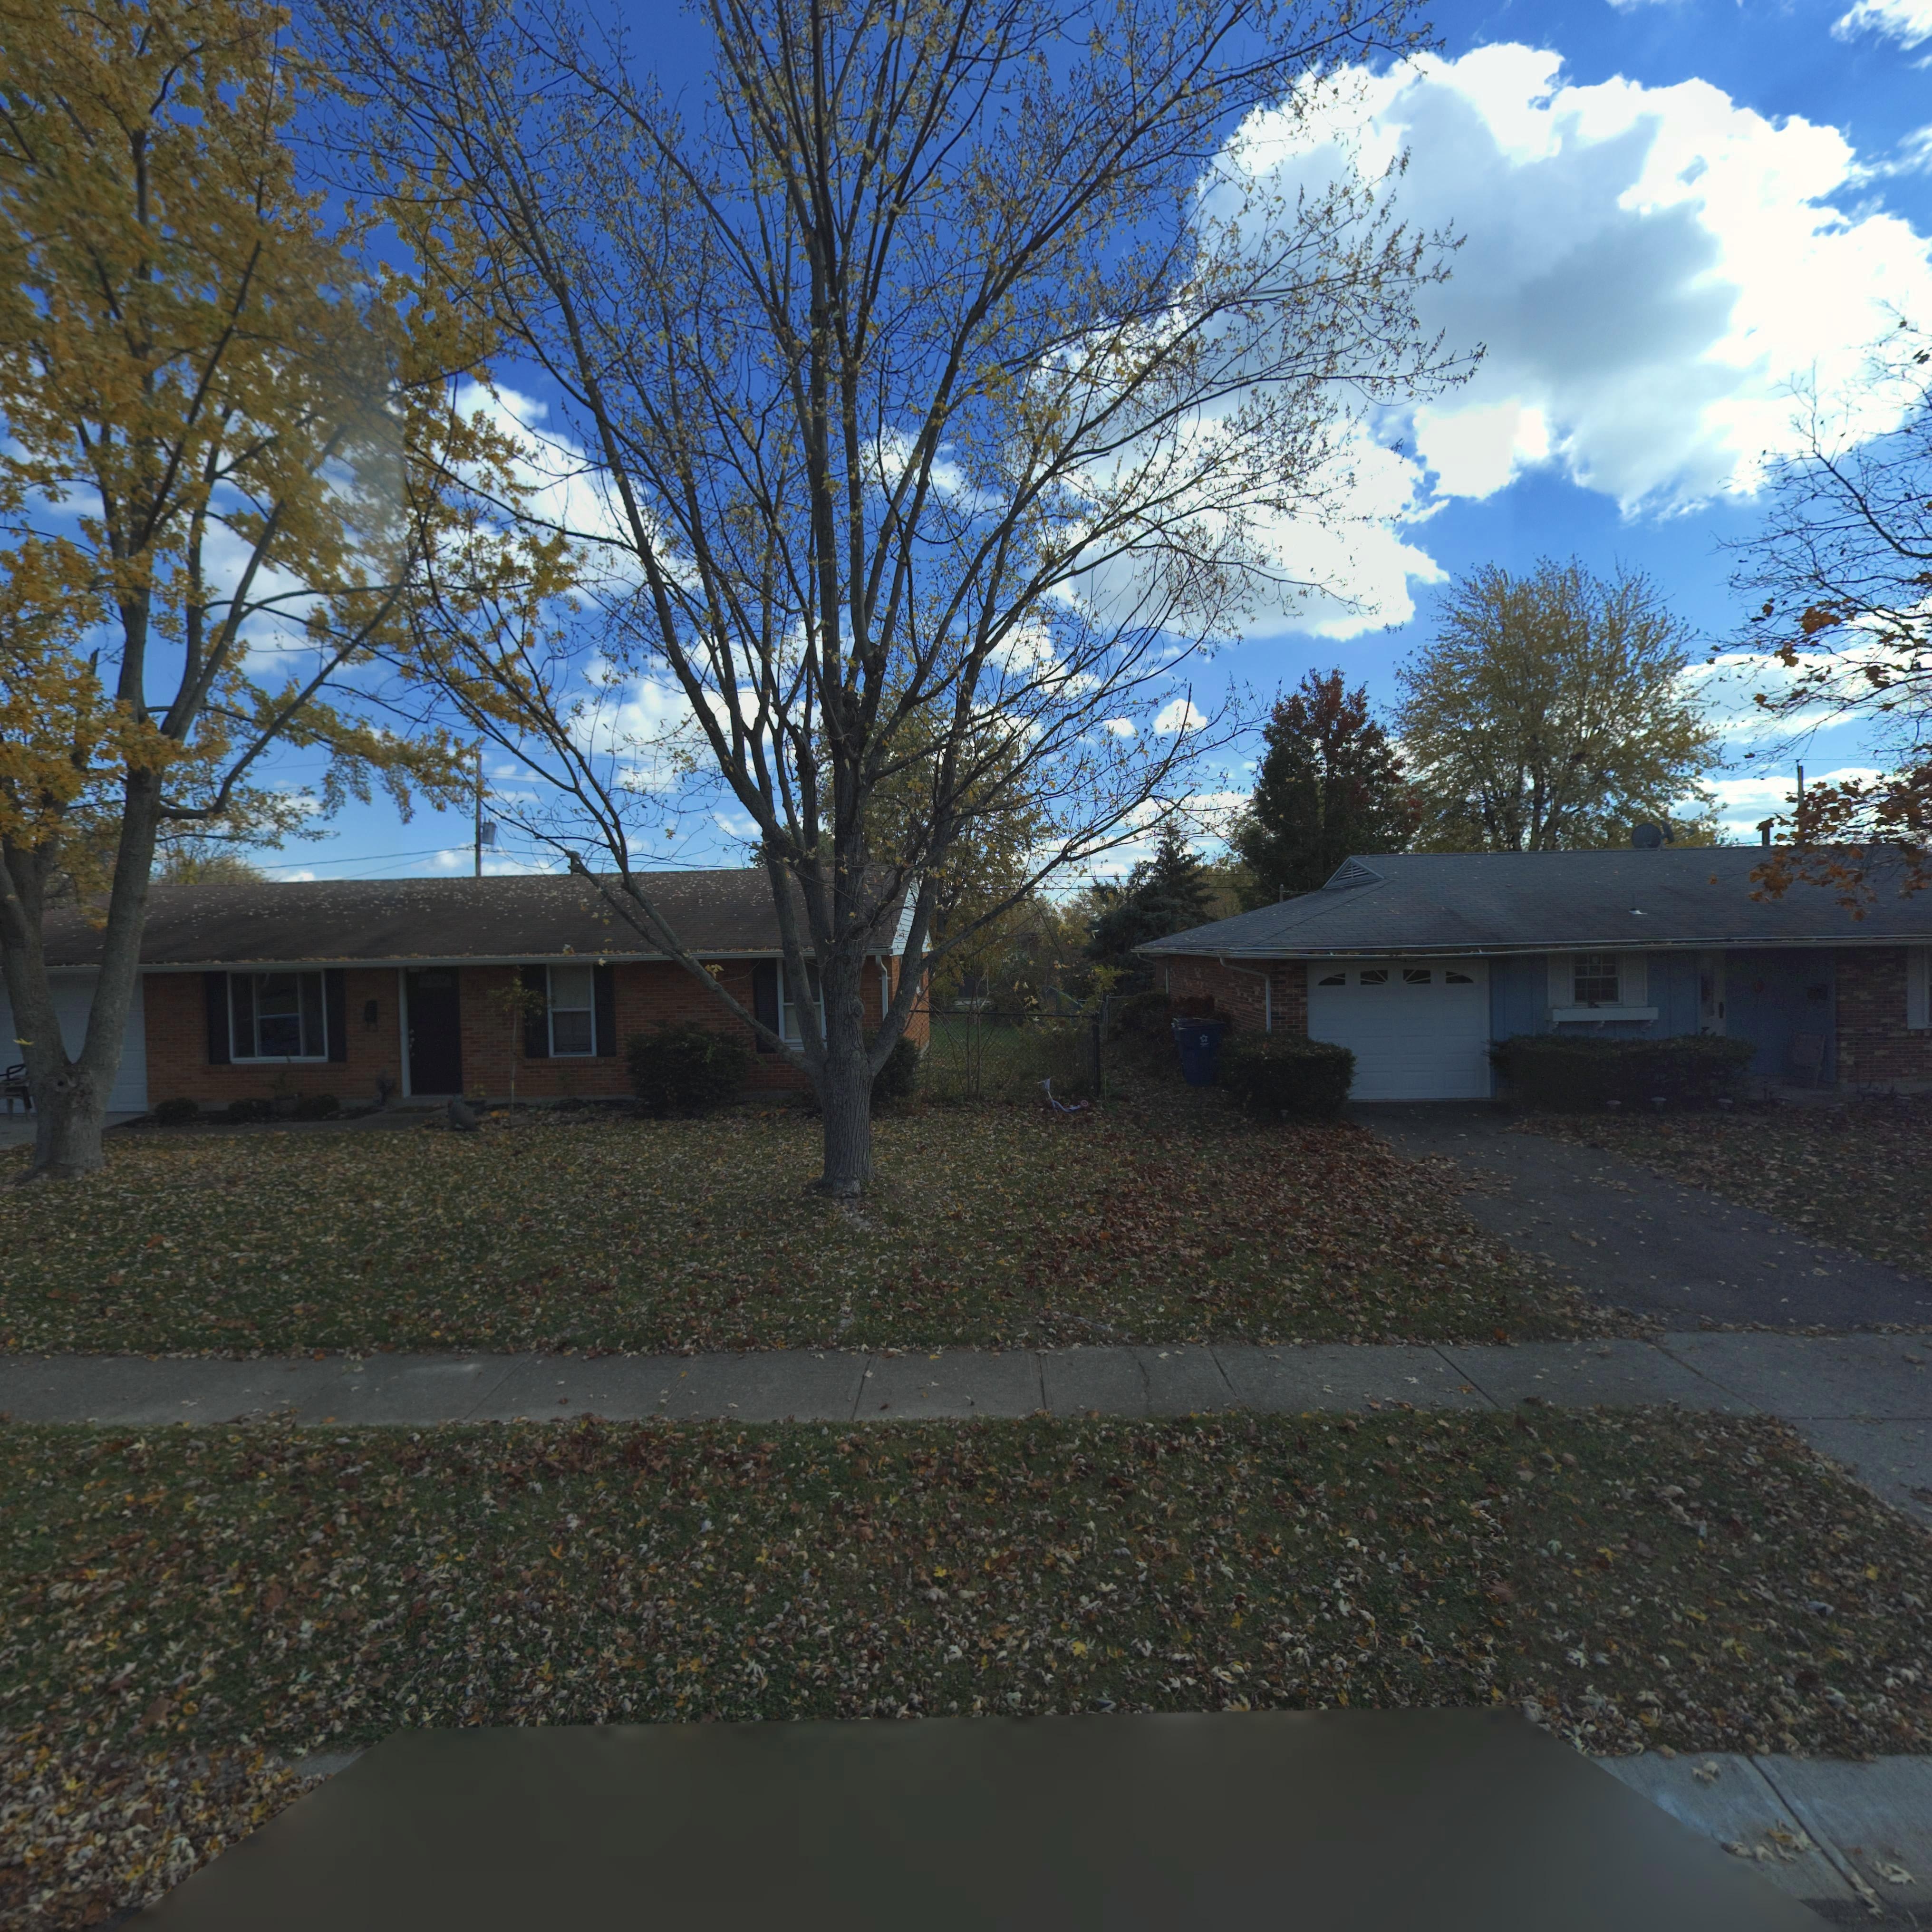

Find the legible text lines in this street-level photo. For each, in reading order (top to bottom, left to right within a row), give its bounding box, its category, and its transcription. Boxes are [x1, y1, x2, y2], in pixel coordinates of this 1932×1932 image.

[468, 979, 483, 992] StreetNumber: 76